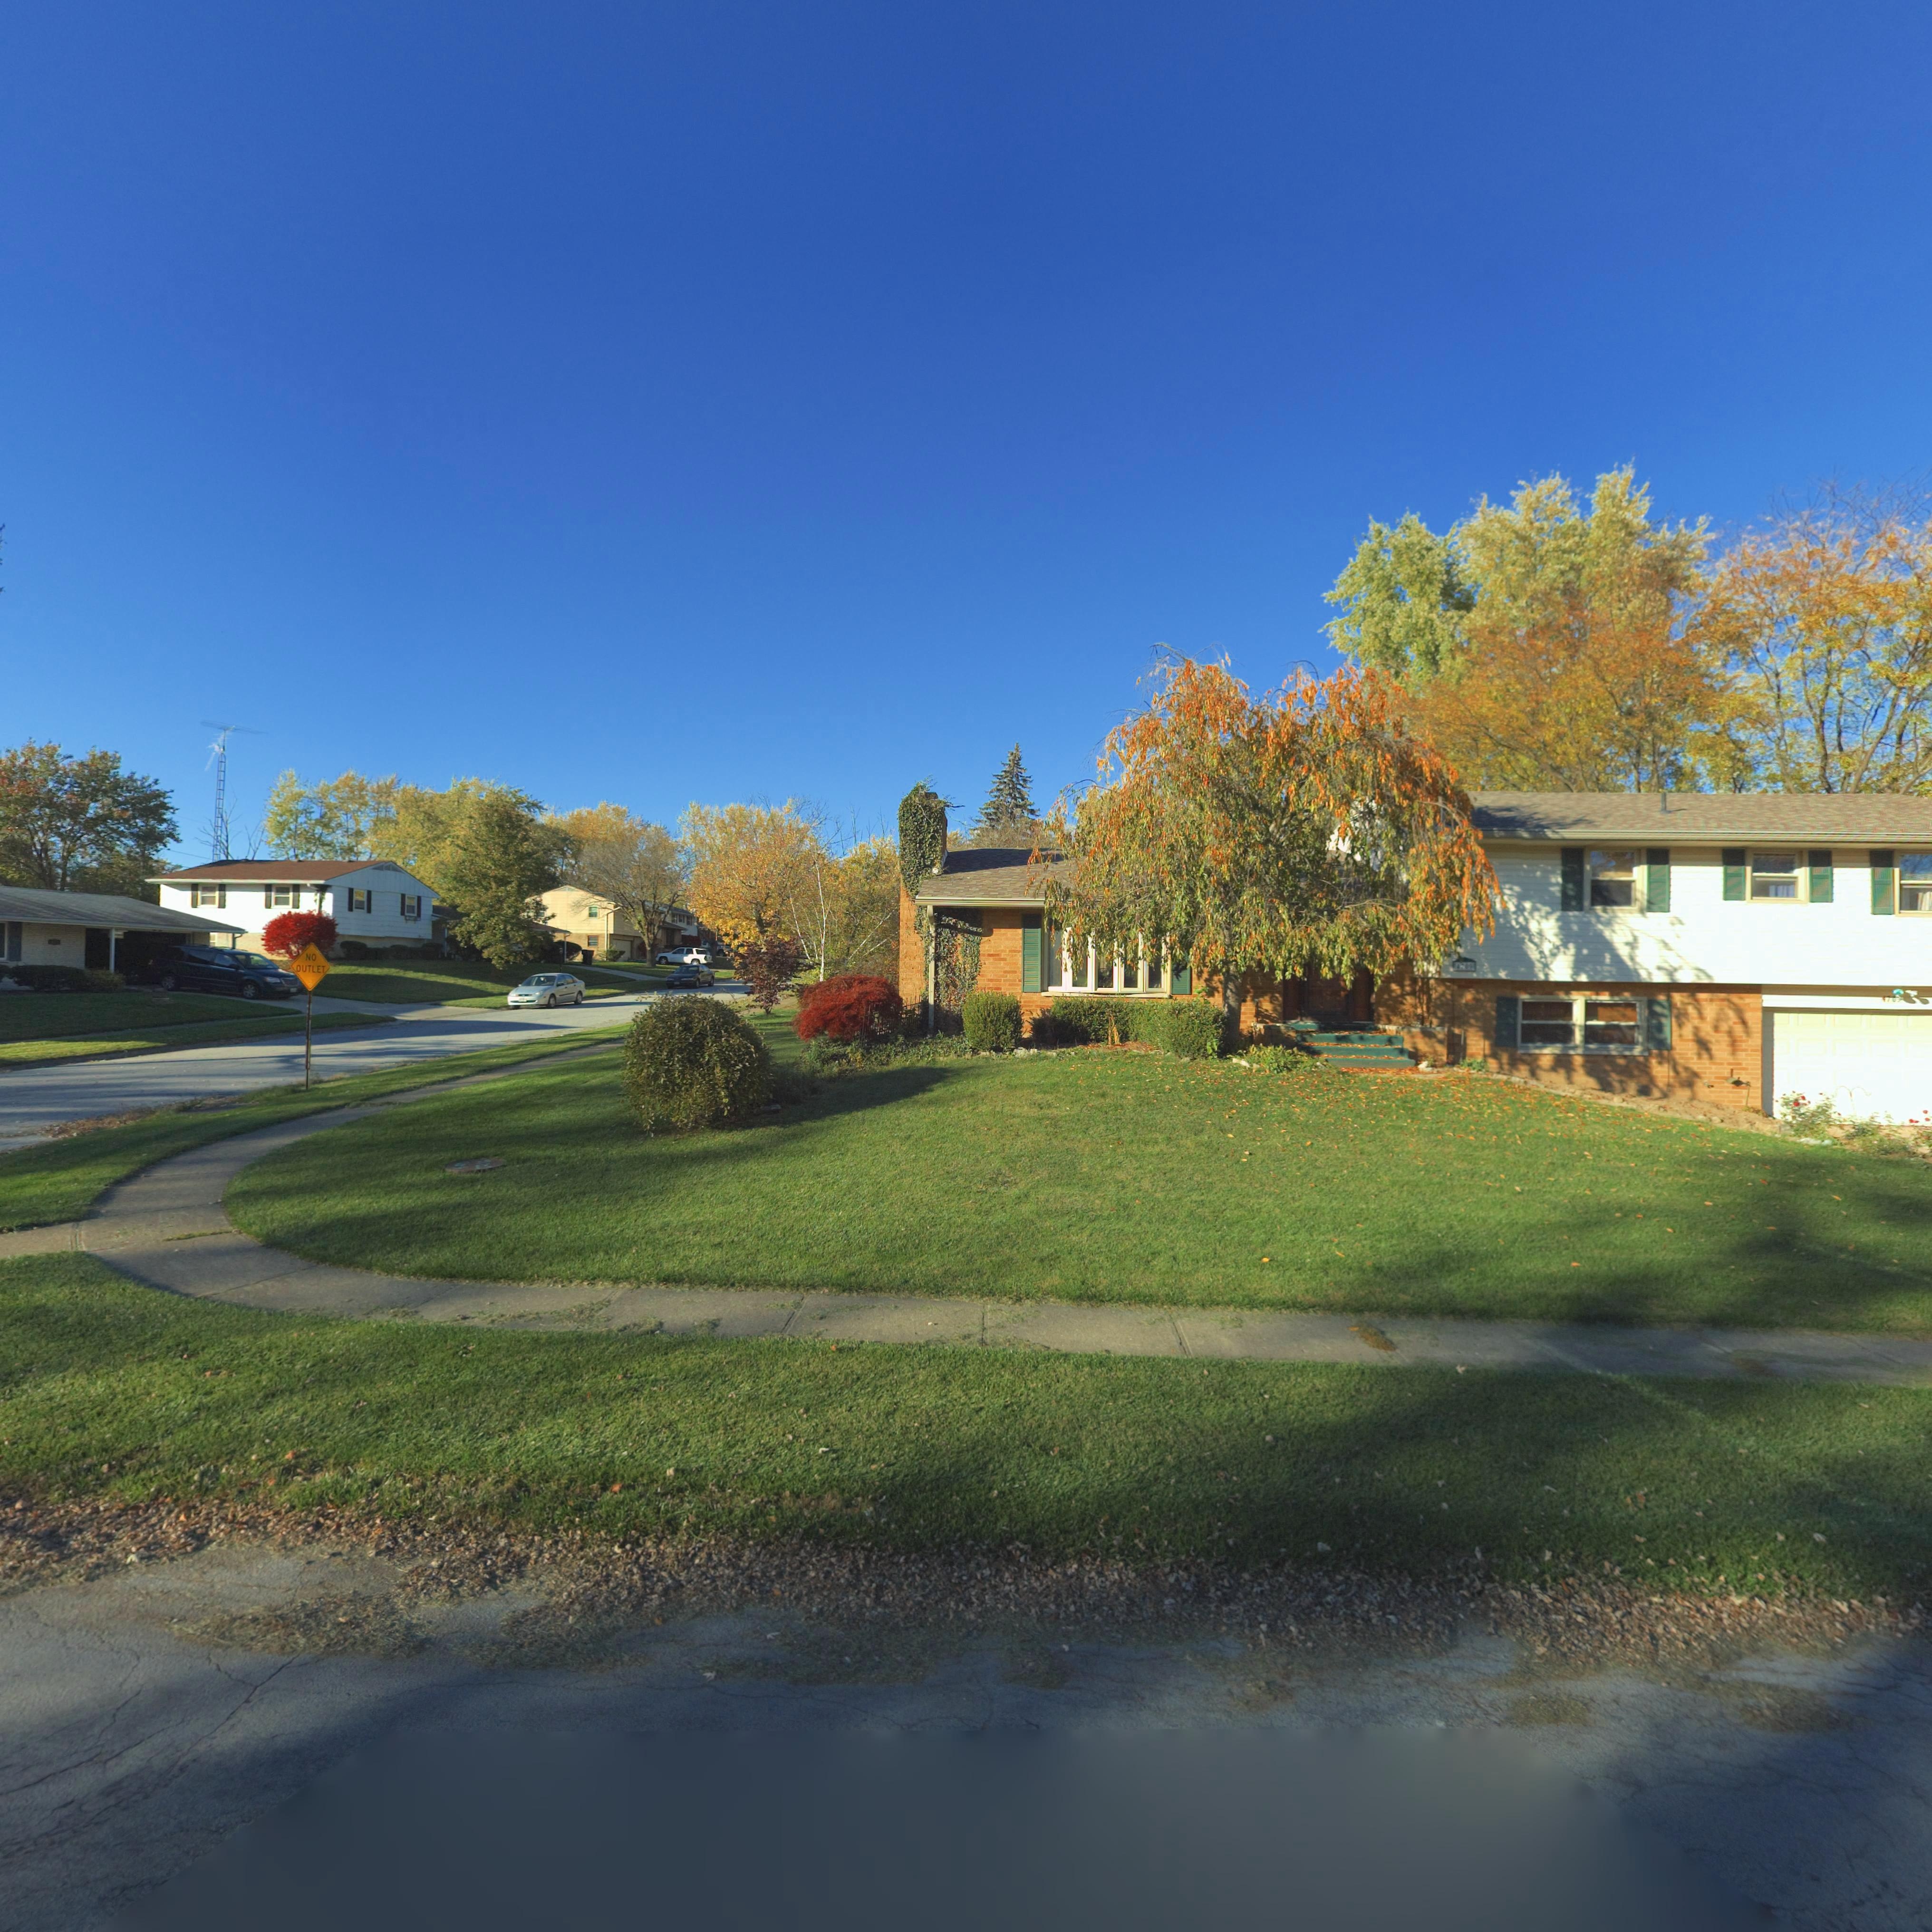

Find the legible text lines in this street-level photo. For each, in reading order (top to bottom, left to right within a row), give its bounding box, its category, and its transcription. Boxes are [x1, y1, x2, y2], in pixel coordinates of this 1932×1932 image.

[1455, 962, 1474, 971] StreetNumber: 470*
[1879, 995, 1903, 1004] StreetNumber: 470*